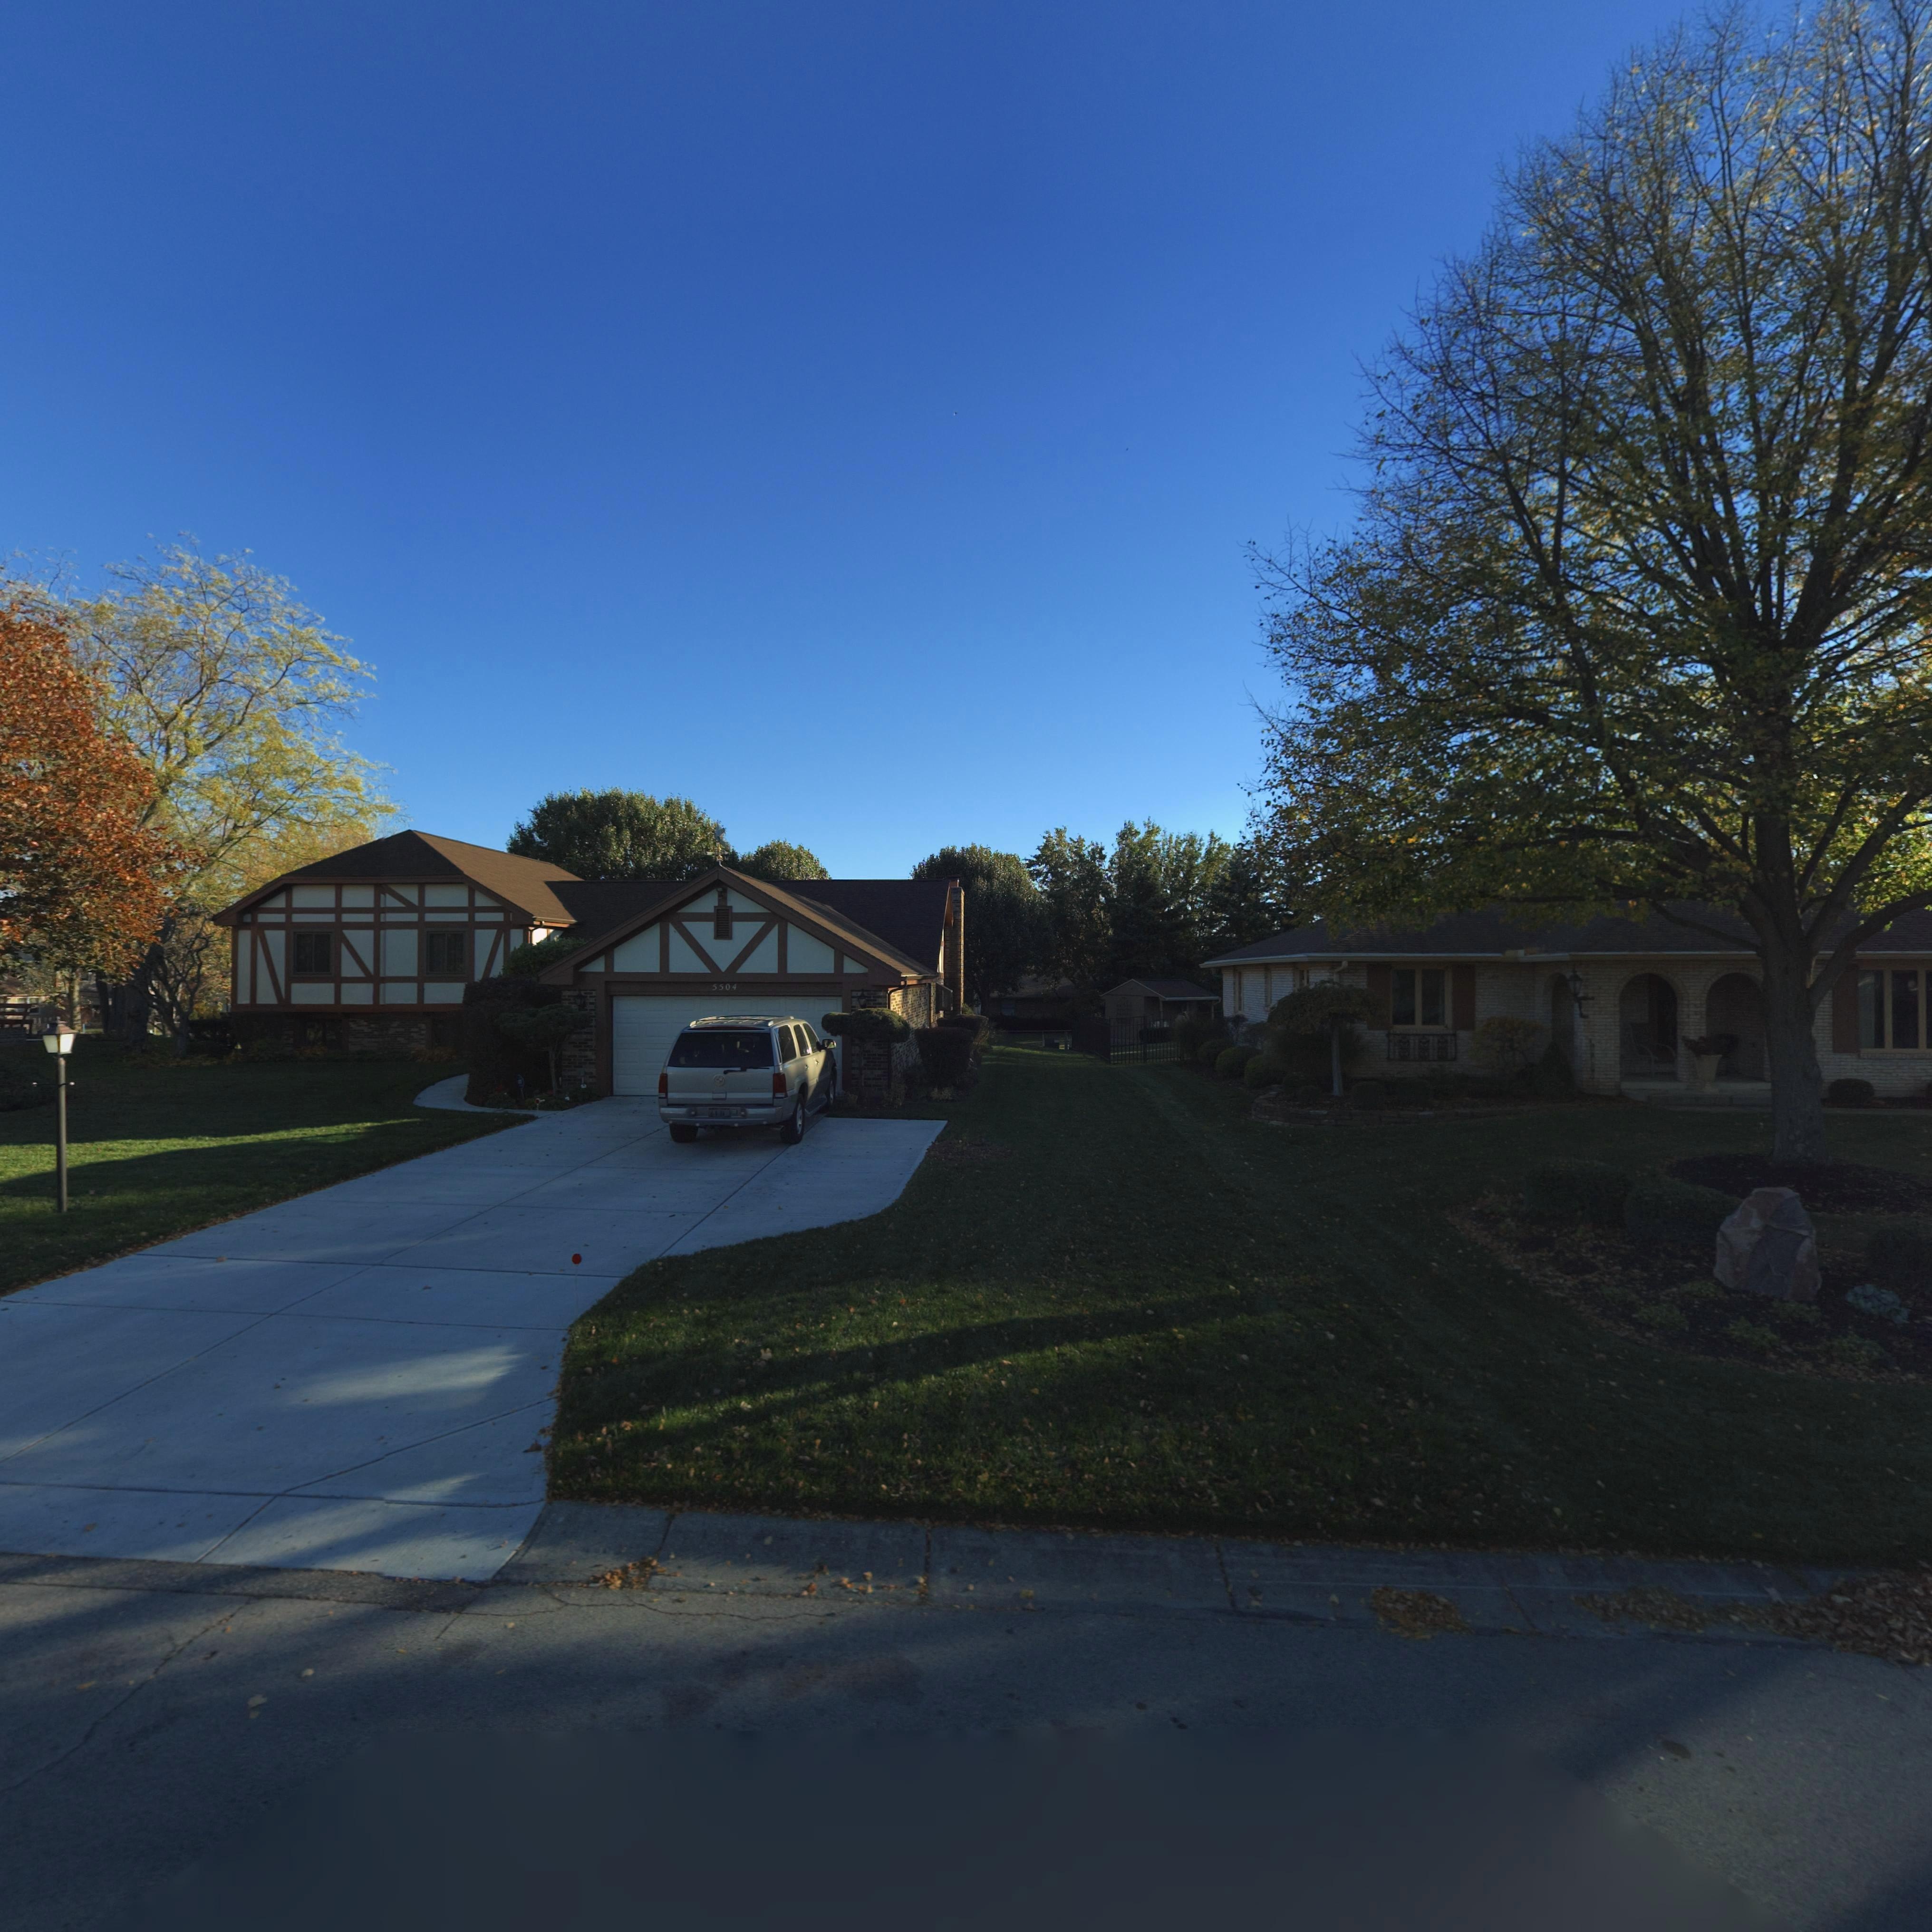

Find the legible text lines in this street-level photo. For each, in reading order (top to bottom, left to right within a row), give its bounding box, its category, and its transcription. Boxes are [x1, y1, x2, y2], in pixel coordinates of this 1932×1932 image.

[711, 983, 738, 992] StreetNumber: 5504